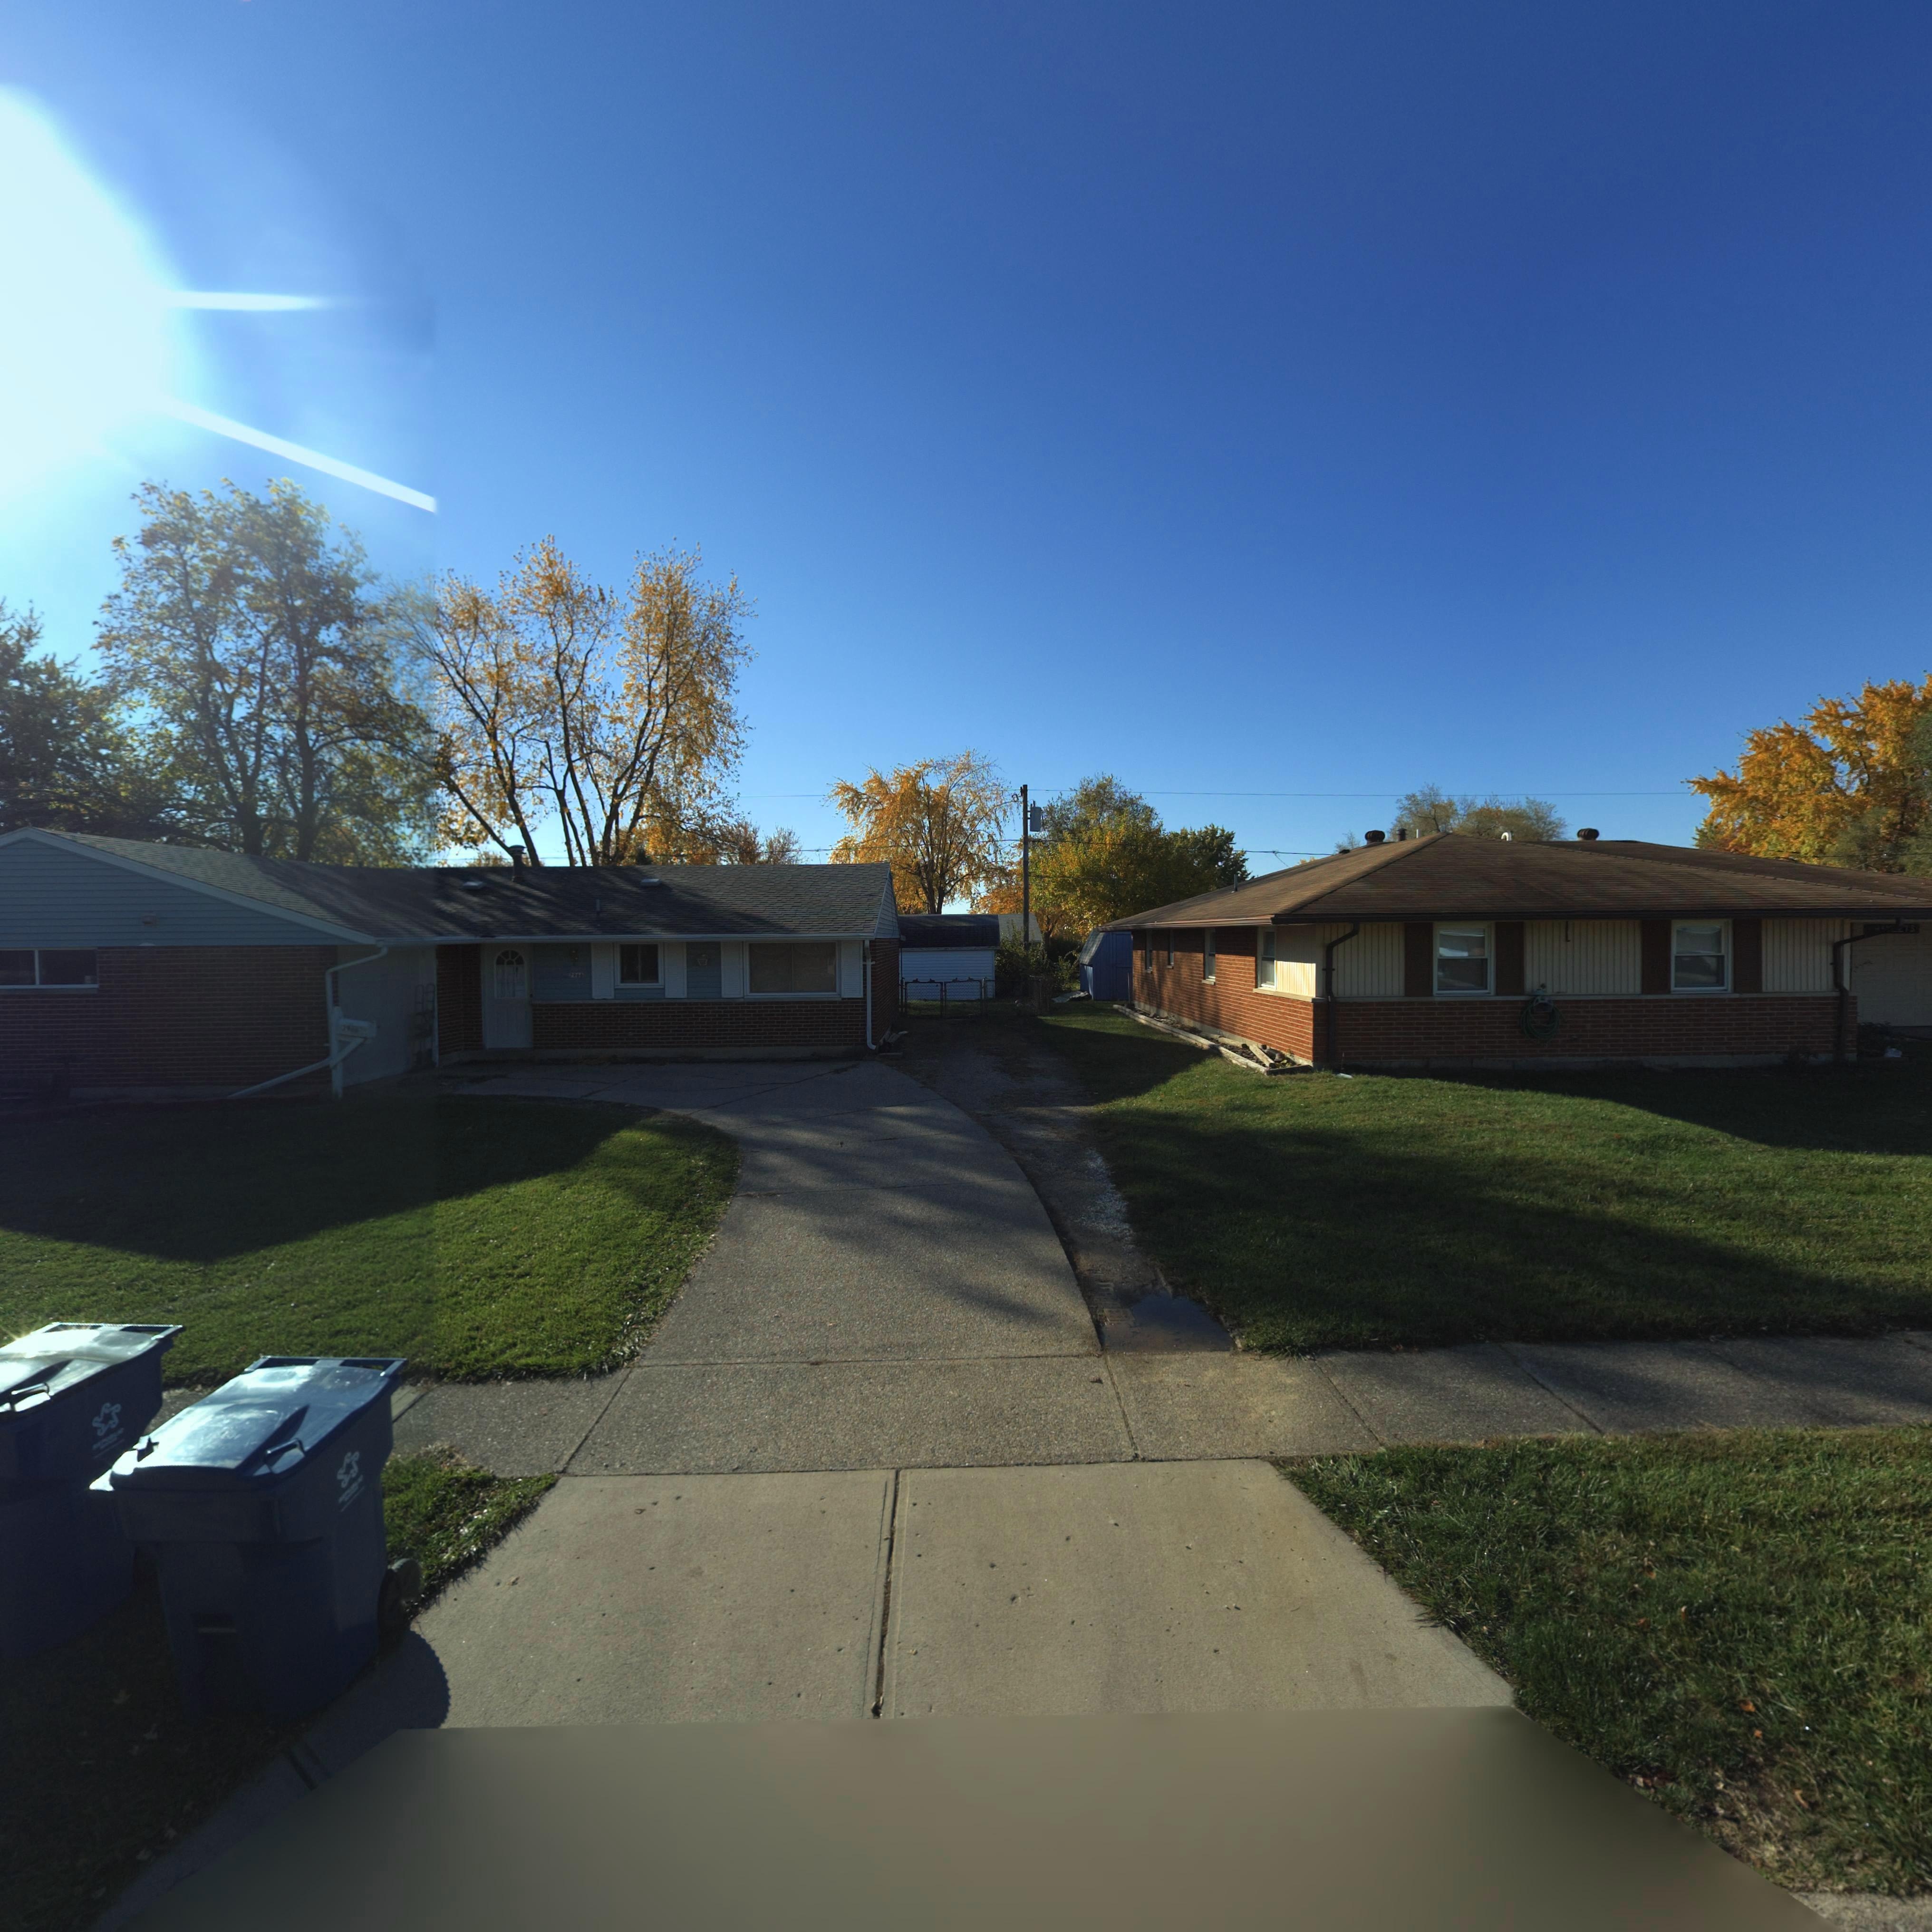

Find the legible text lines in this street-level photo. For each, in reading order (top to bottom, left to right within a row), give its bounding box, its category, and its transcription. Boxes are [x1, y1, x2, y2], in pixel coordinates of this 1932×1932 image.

[568, 972, 585, 979] StreetNumber: 7***